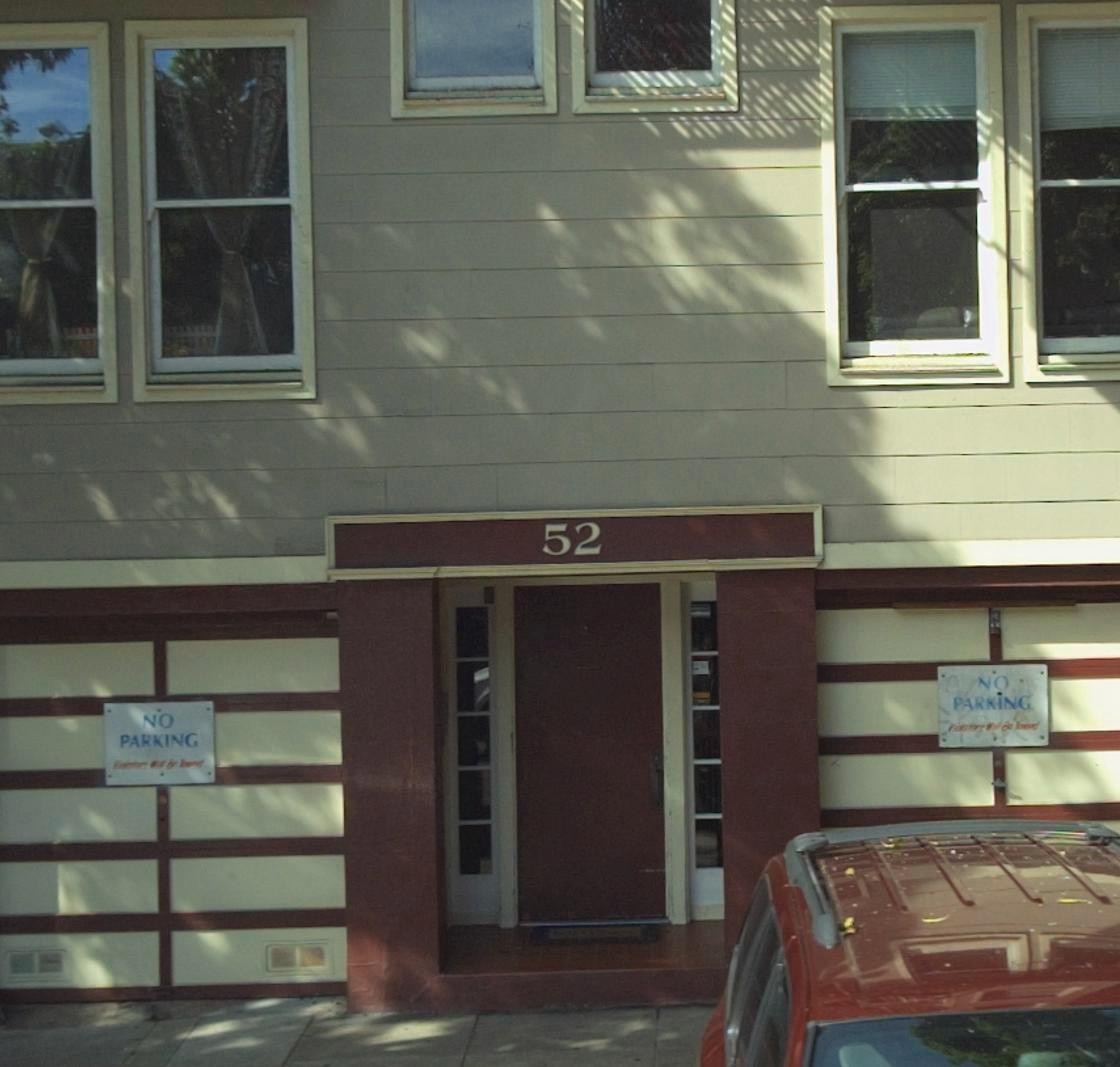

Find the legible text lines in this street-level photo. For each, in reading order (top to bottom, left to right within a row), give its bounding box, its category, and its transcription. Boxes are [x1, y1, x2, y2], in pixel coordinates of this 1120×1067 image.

[542, 520, 605, 557] StreetNumber: 52
[975, 675, 1009, 691] None: NO
[952, 692, 1032, 711] None: PARKING
[141, 713, 175, 730] None: NO
[120, 733, 200, 749] None: PARKING